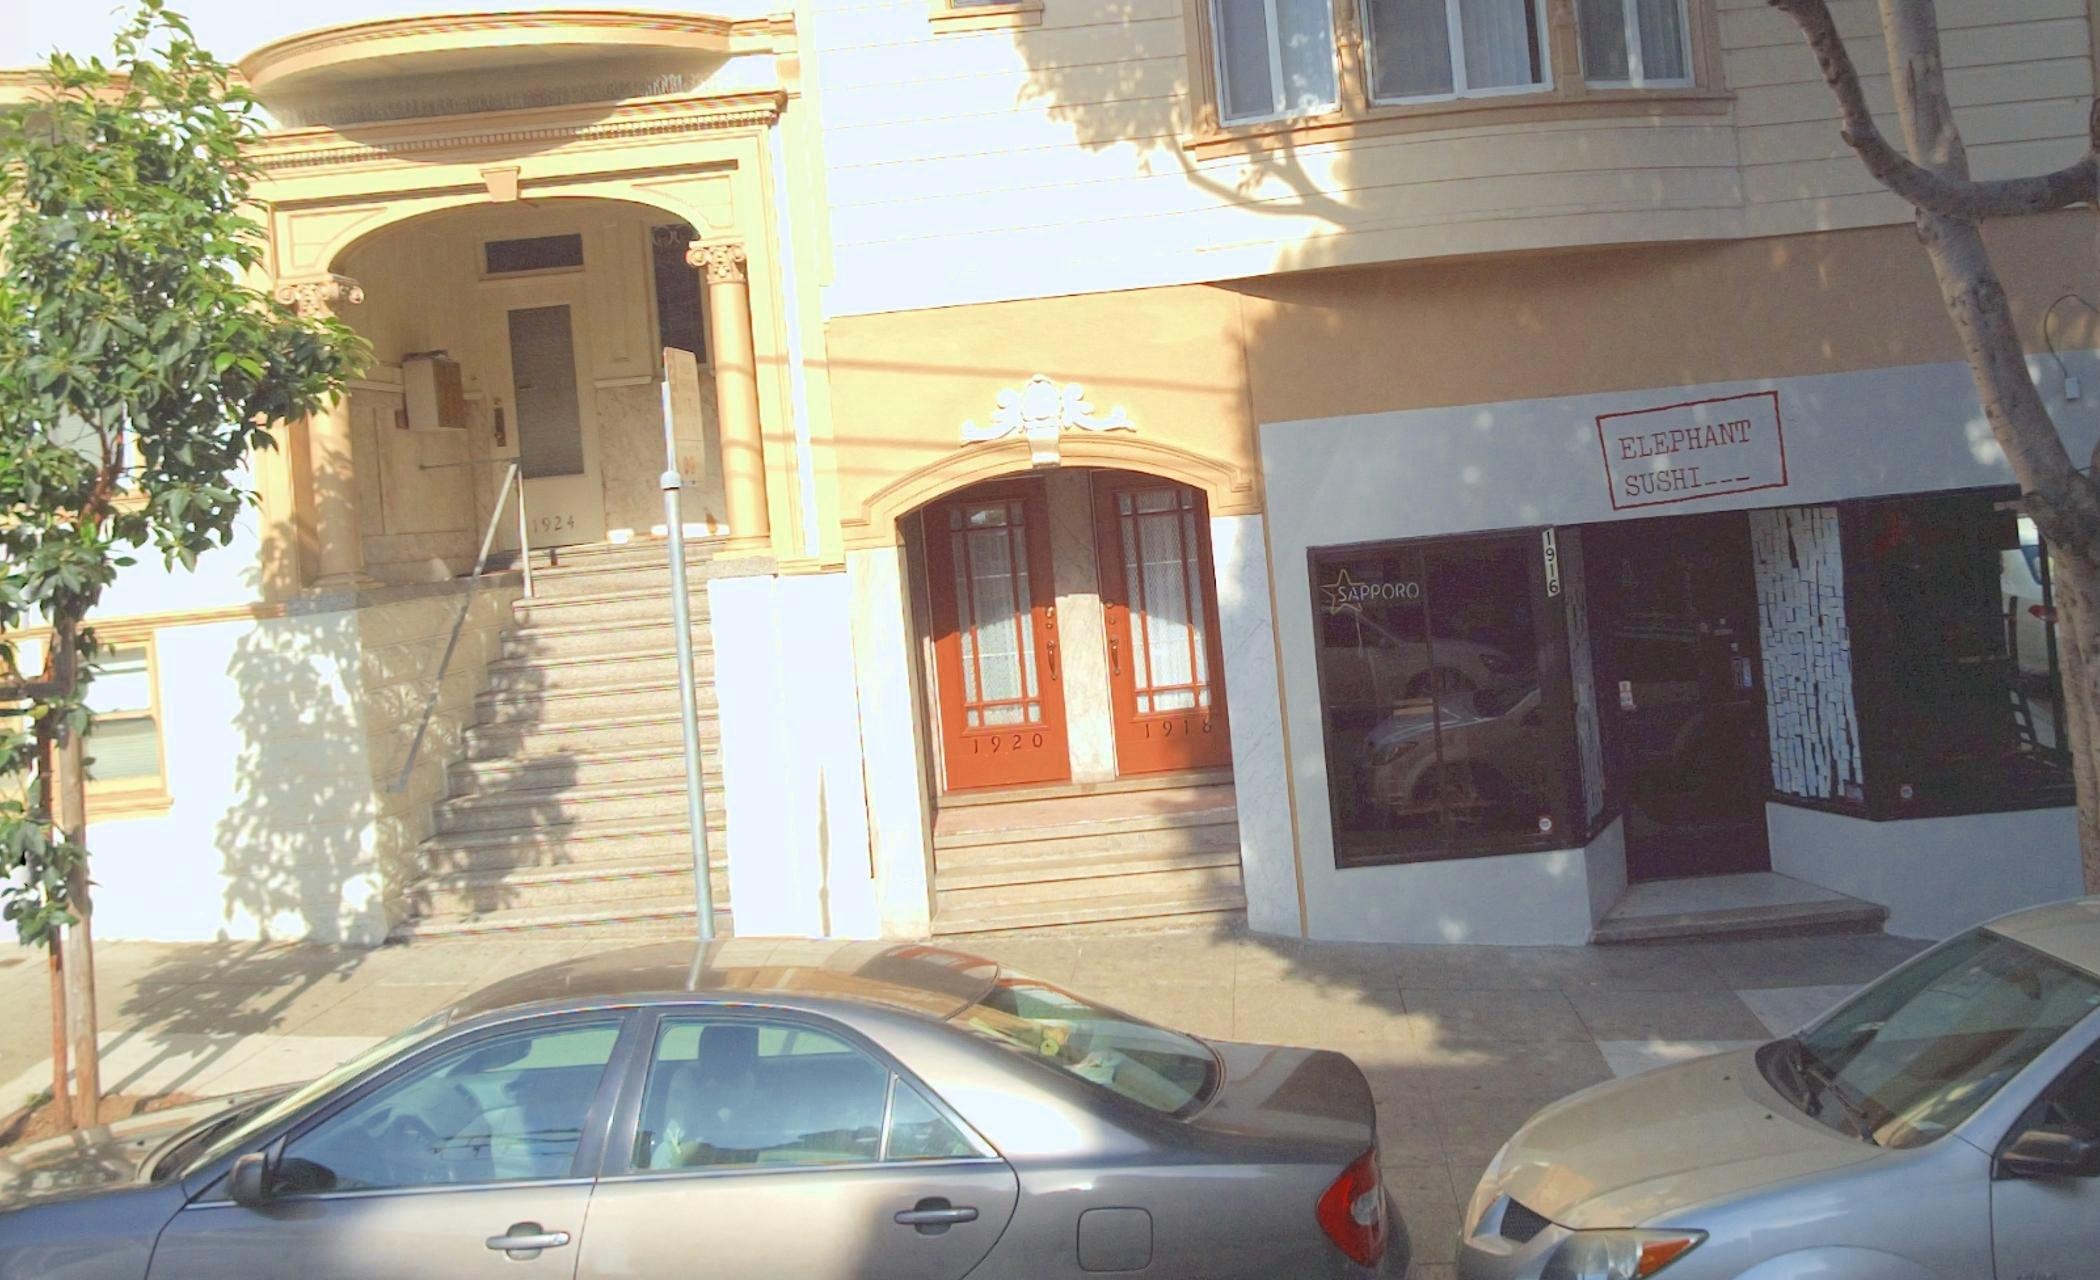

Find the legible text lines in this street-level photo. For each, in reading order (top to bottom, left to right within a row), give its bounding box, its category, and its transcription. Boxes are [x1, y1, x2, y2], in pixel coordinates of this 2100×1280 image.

[1618, 418, 1752, 462] BusinessName: ELEPHANT
[1623, 464, 1703, 500] BusinessName: SUSHI
[530, 512, 576, 536] StreetNumber: 1924
[1541, 527, 1561, 598] StreetNumber: 1916
[1336, 579, 1422, 604] BusinessName: SAPPORO
[1143, 714, 1215, 742] StreetNumber: 1918
[972, 730, 1044, 756] StreetNumber: 1920